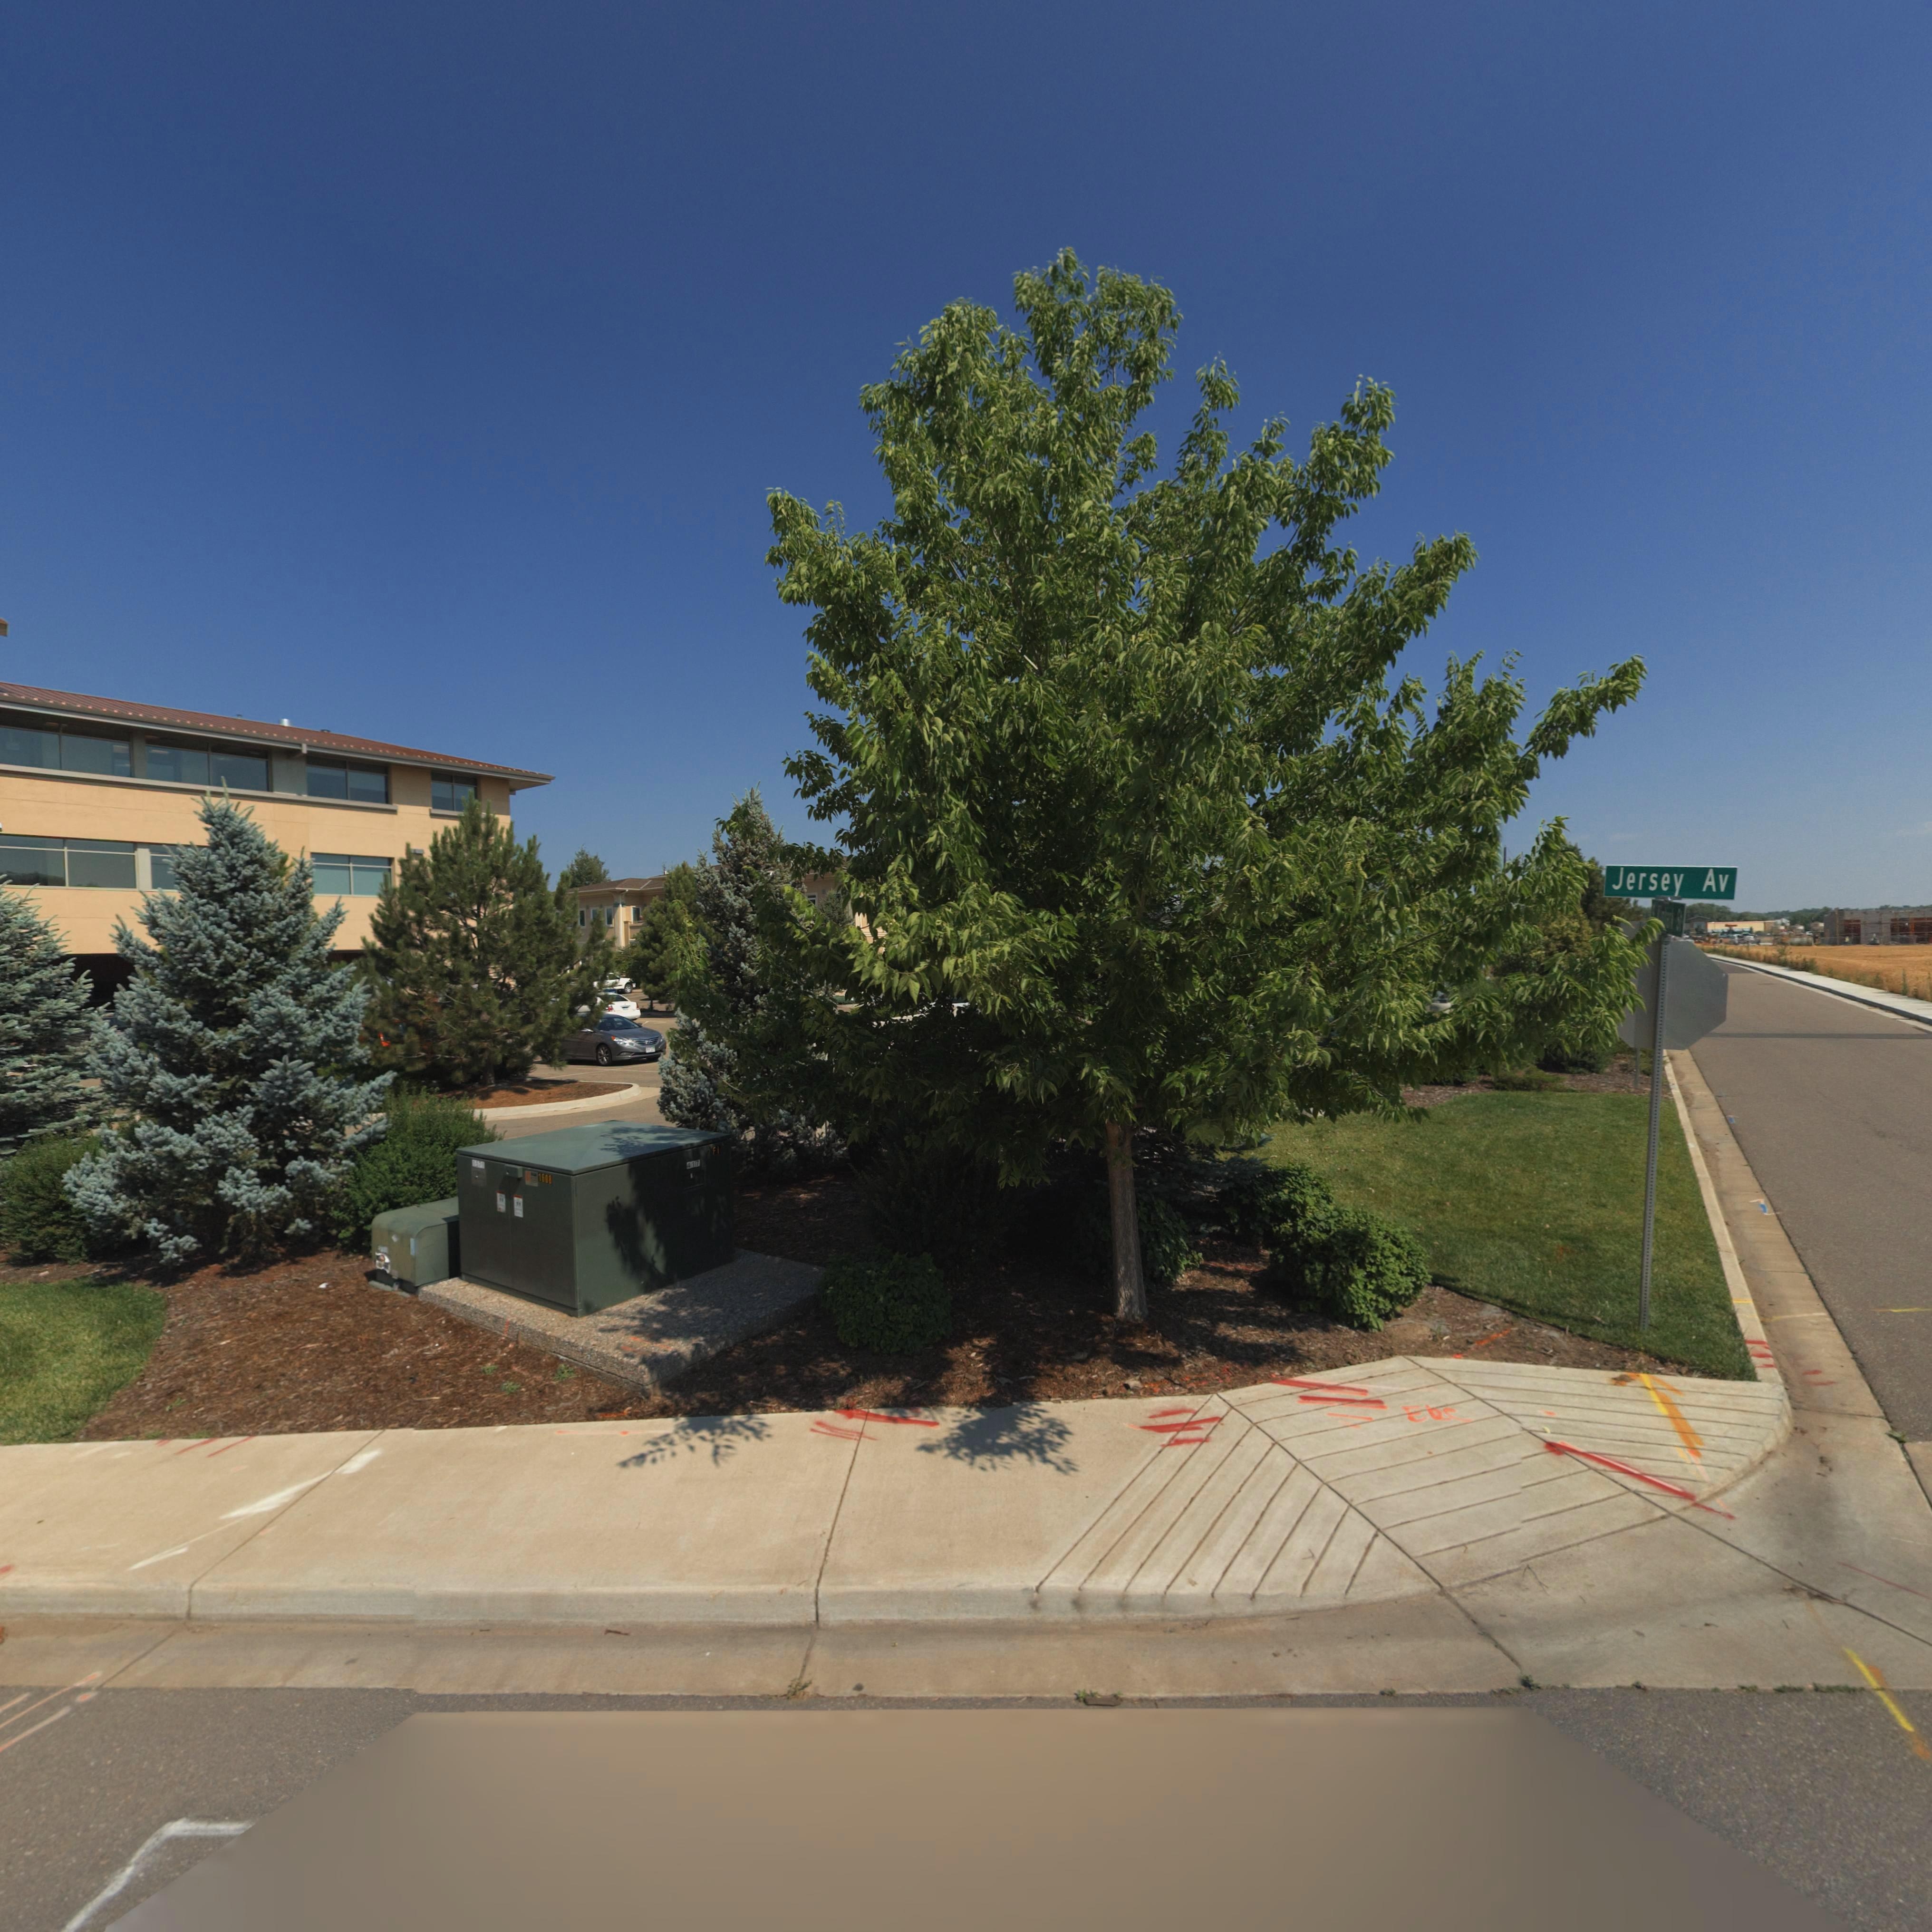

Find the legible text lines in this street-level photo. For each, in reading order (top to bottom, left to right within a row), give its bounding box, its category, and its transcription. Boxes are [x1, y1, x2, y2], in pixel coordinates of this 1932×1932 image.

[1611, 866, 1730, 897] StreetName: Jersey Av
[1665, 907, 1683, 933] StreetName: a** St